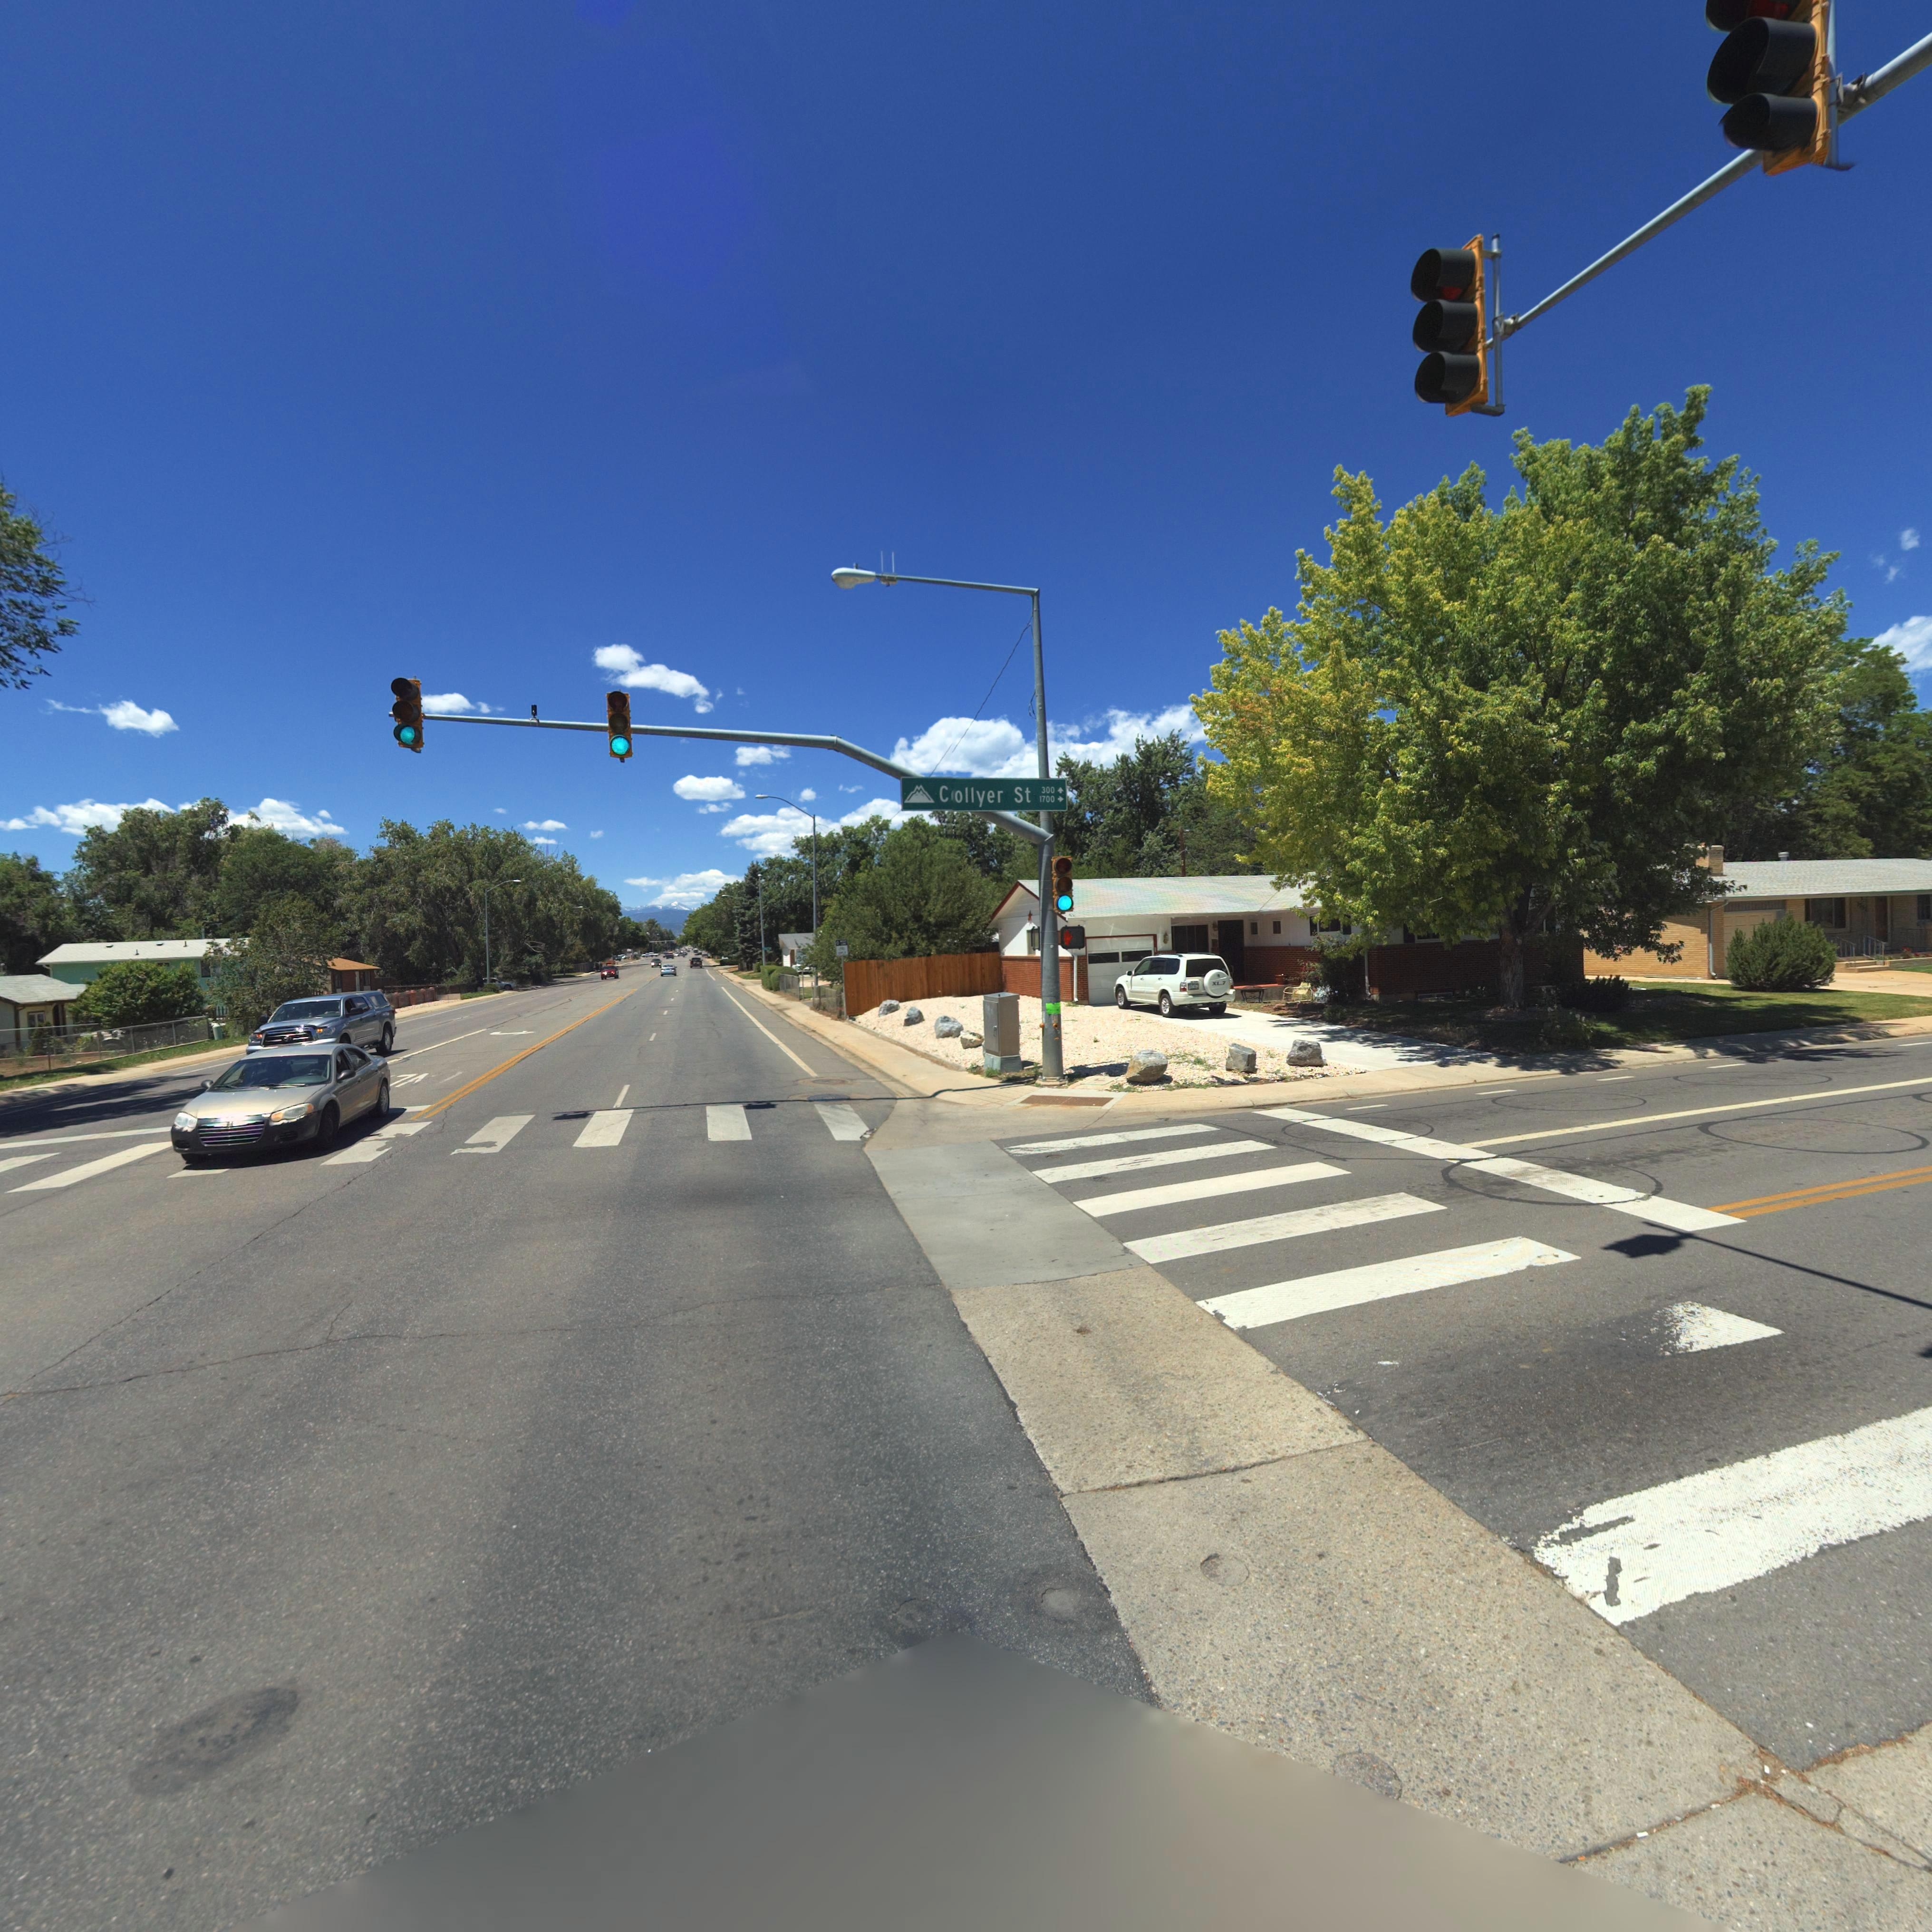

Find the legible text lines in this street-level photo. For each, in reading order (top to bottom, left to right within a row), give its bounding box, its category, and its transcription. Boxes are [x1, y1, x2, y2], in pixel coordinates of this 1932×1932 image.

[1041, 786, 1054, 793] StreetNumberRange: 300
[939, 785, 1031, 808] StreetName: C*llyer St
[1039, 795, 1064, 802] StreetNumberRange: 1700->